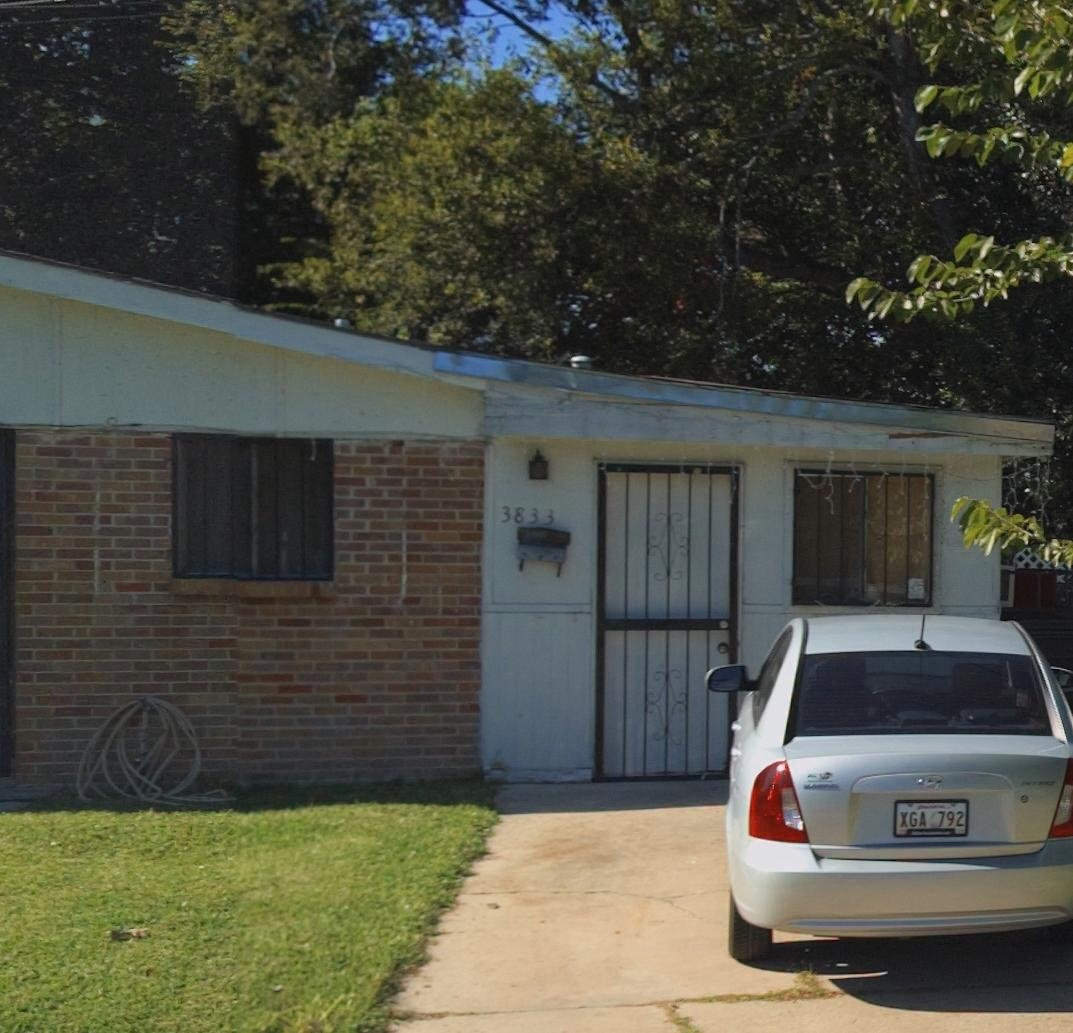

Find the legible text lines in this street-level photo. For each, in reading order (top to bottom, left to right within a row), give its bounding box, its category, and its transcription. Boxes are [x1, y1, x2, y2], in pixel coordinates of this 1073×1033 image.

[498, 503, 557, 528] StreetNumber: 3833
[897, 808, 967, 831] None: XGA 792